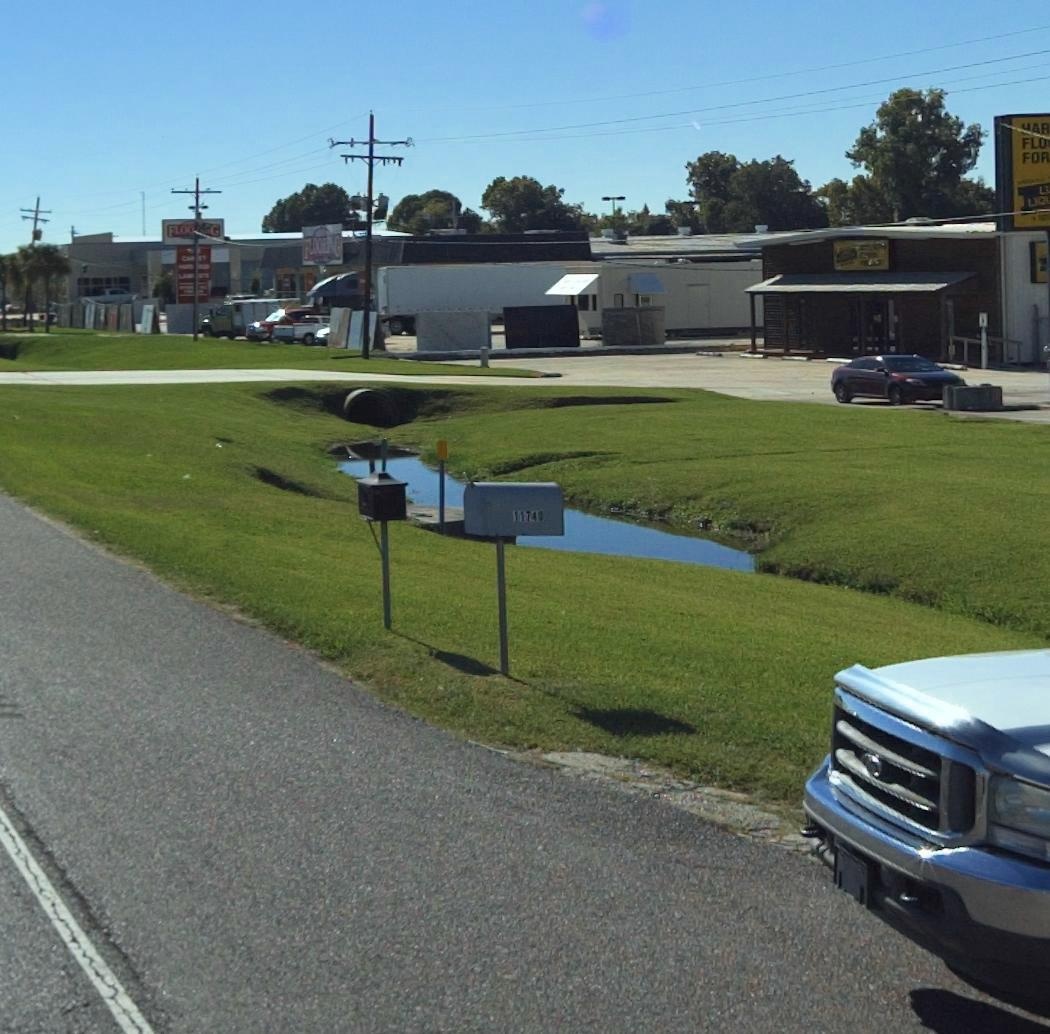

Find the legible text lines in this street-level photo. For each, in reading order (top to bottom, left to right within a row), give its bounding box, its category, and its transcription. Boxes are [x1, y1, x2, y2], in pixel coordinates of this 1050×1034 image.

[1021, 137, 1047, 150] None: FLO
[1022, 151, 1050, 164] None: FOR
[168, 224, 220, 238] BusinessName: FLOO***G
[303, 236, 327, 260] BusinessName: FLOOR
[327, 234, 342, 258] BusinessName: NG
[512, 510, 544, 522] StreetNumber: 11740